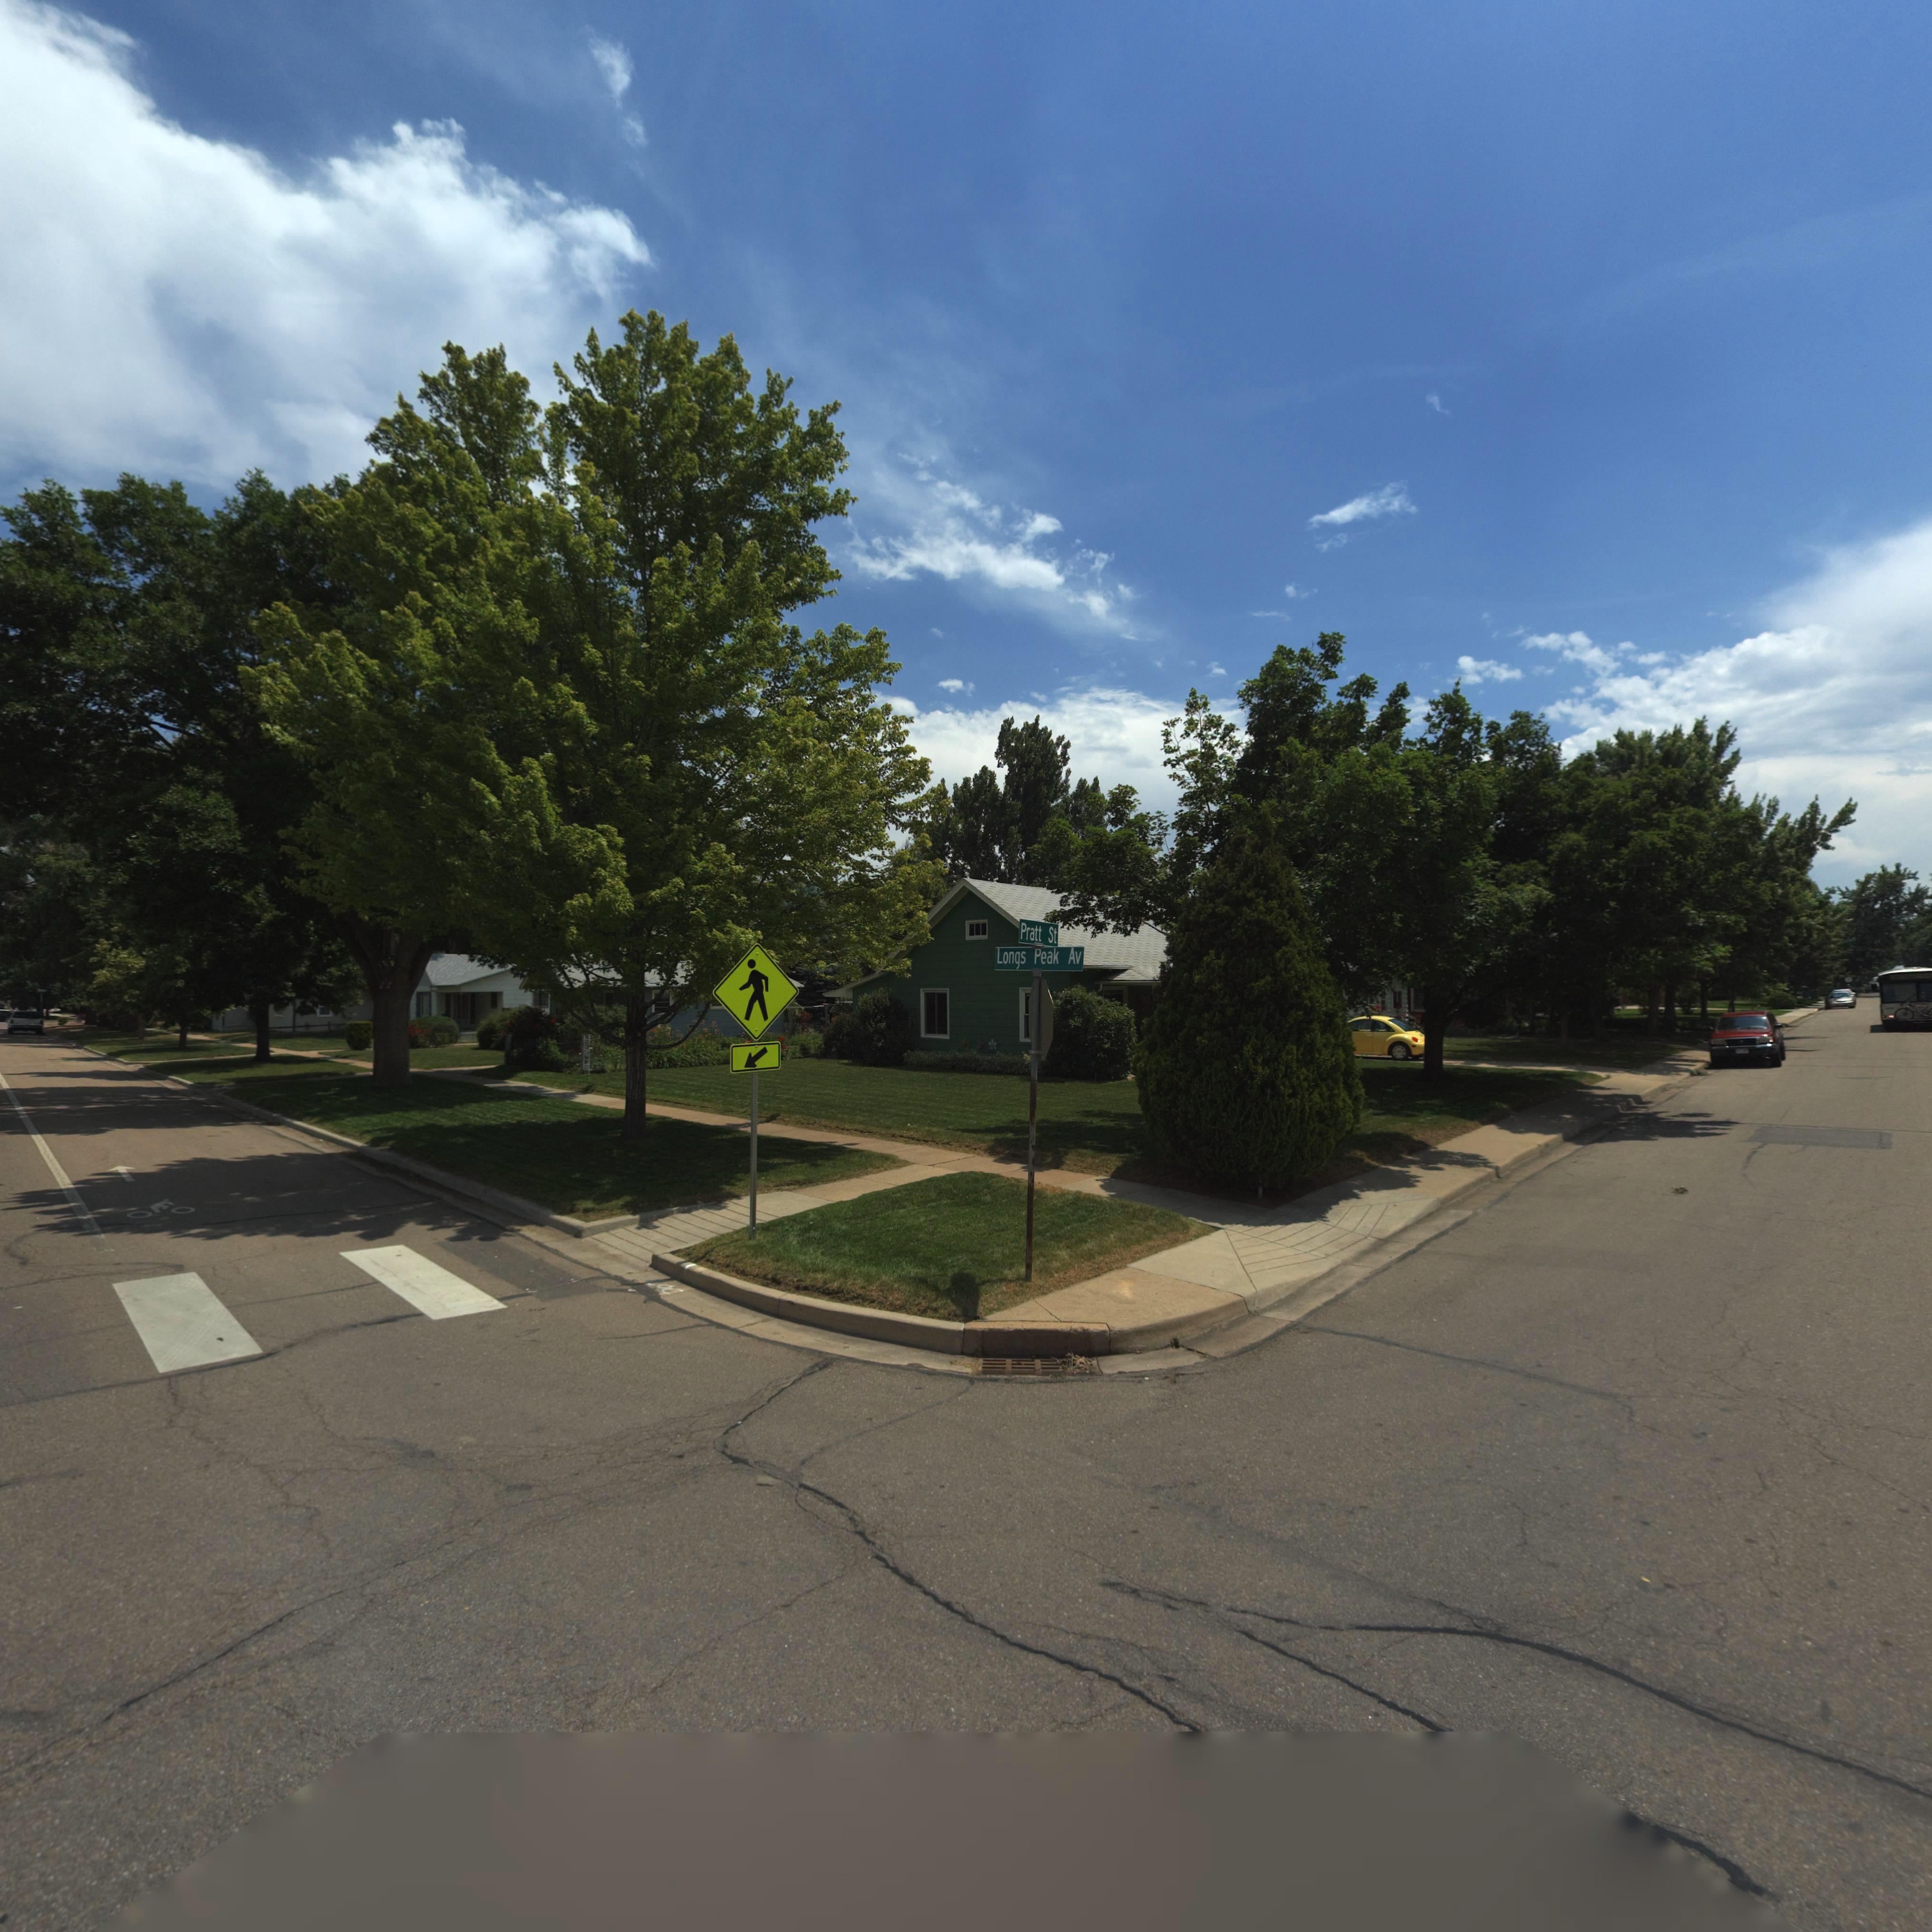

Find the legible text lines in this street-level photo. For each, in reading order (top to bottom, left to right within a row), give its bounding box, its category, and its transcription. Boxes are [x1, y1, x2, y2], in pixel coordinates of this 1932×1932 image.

[1020, 921, 1057, 945] StreetName: Pratt St
[997, 947, 1083, 970] StreetName: Longs Peak Av